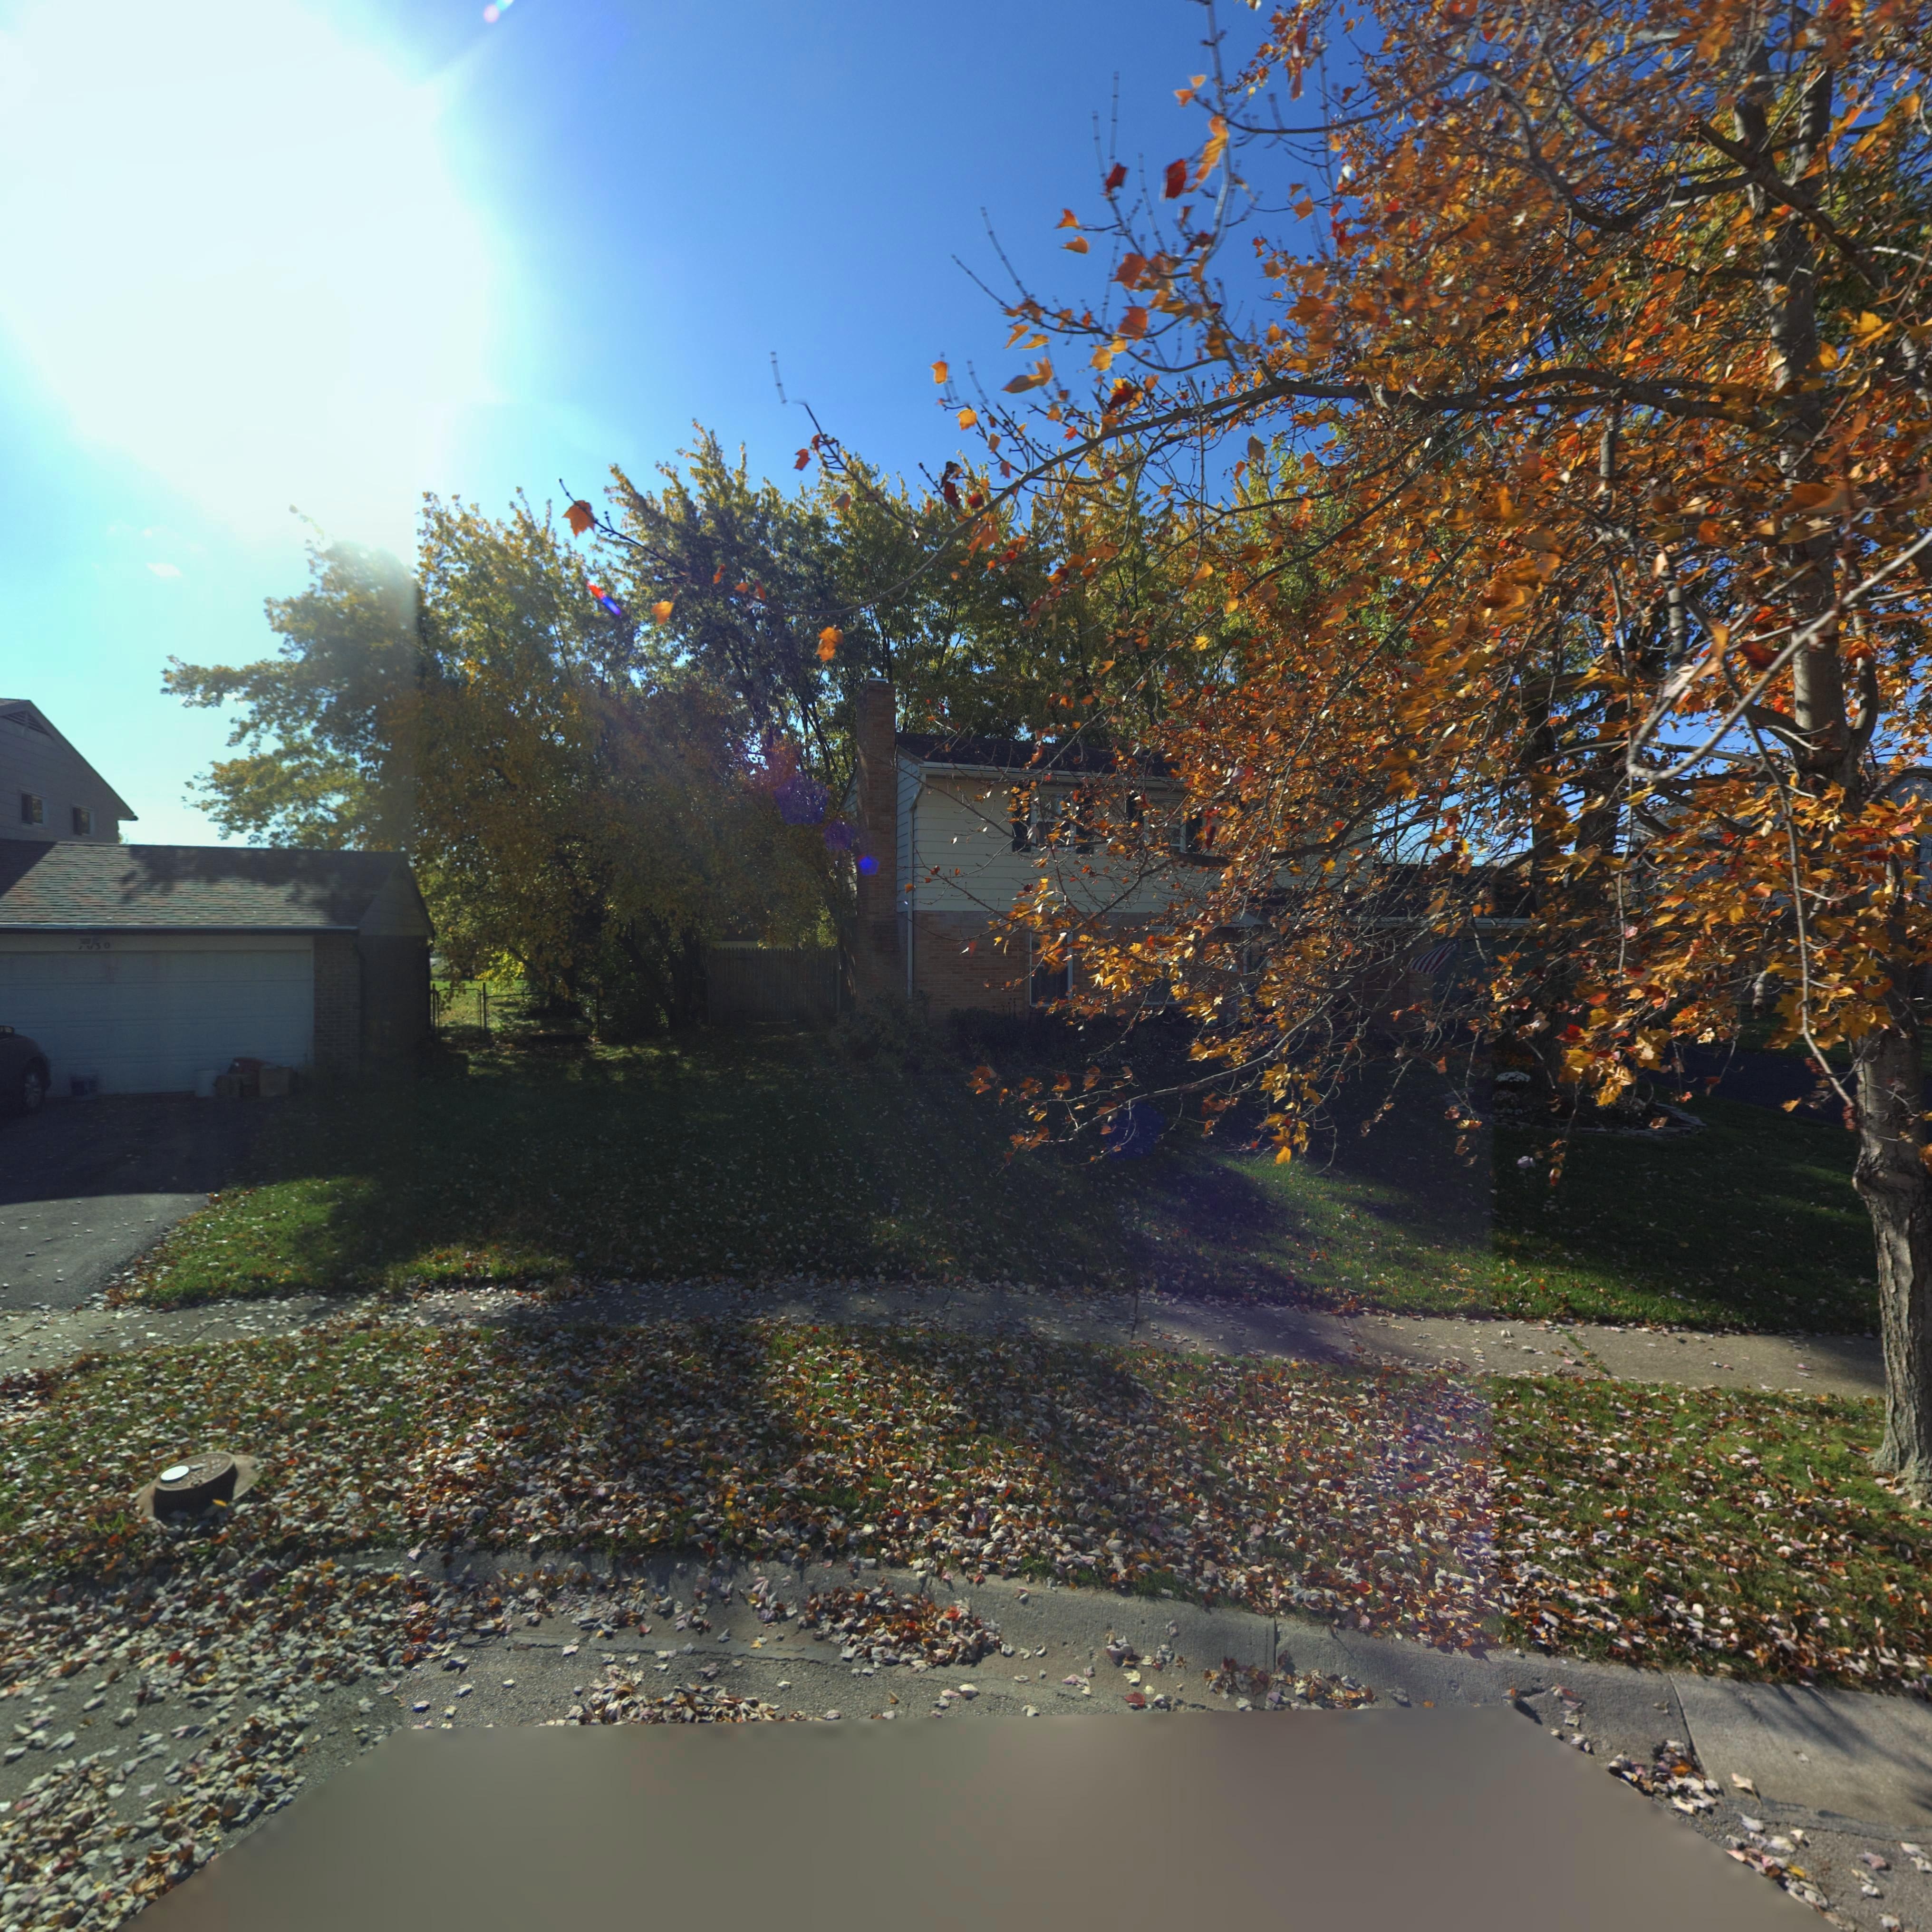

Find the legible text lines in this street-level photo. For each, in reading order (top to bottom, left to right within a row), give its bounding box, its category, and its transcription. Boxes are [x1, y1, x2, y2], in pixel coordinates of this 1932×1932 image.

[93, 941, 110, 950] StreetNumber: 30